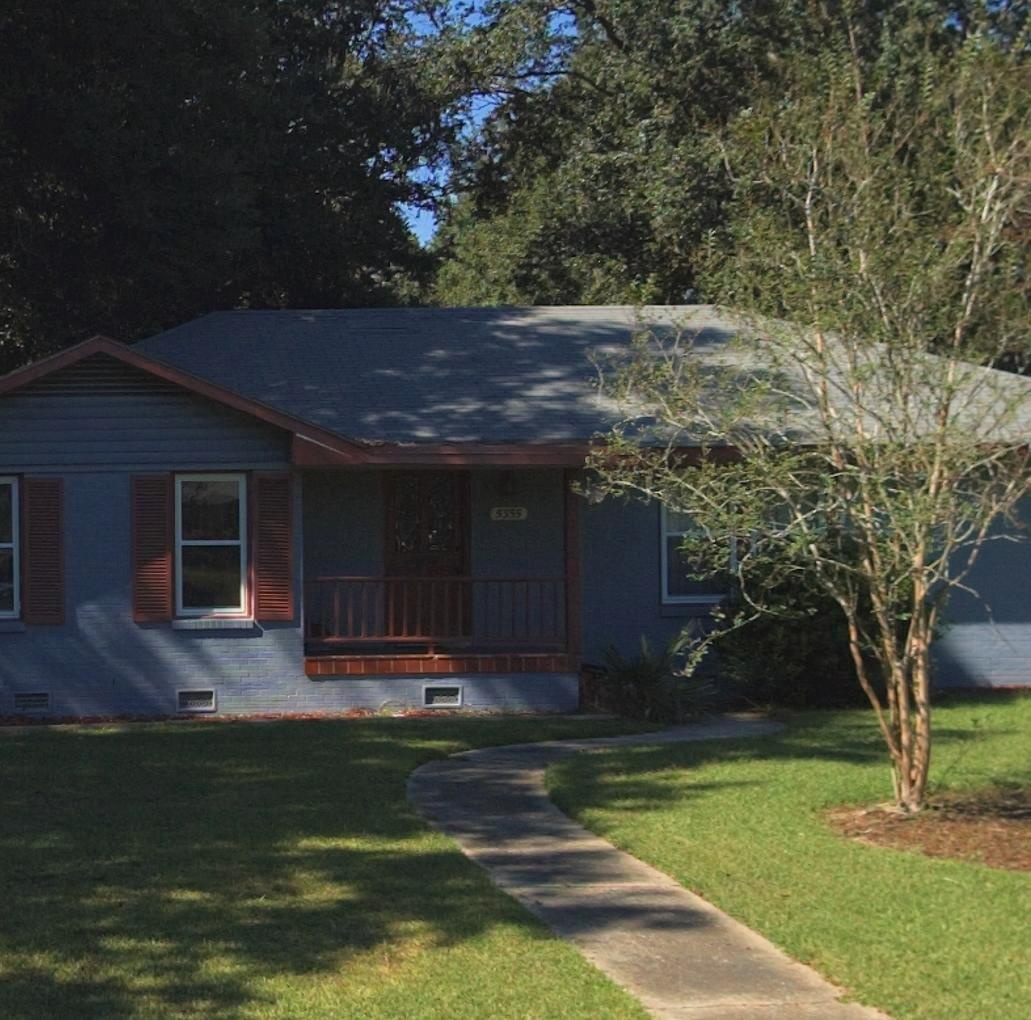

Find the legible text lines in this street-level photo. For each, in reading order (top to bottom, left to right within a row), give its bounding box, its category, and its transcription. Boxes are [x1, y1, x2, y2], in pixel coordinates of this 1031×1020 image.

[494, 508, 523, 519] StreetNumber: 5335